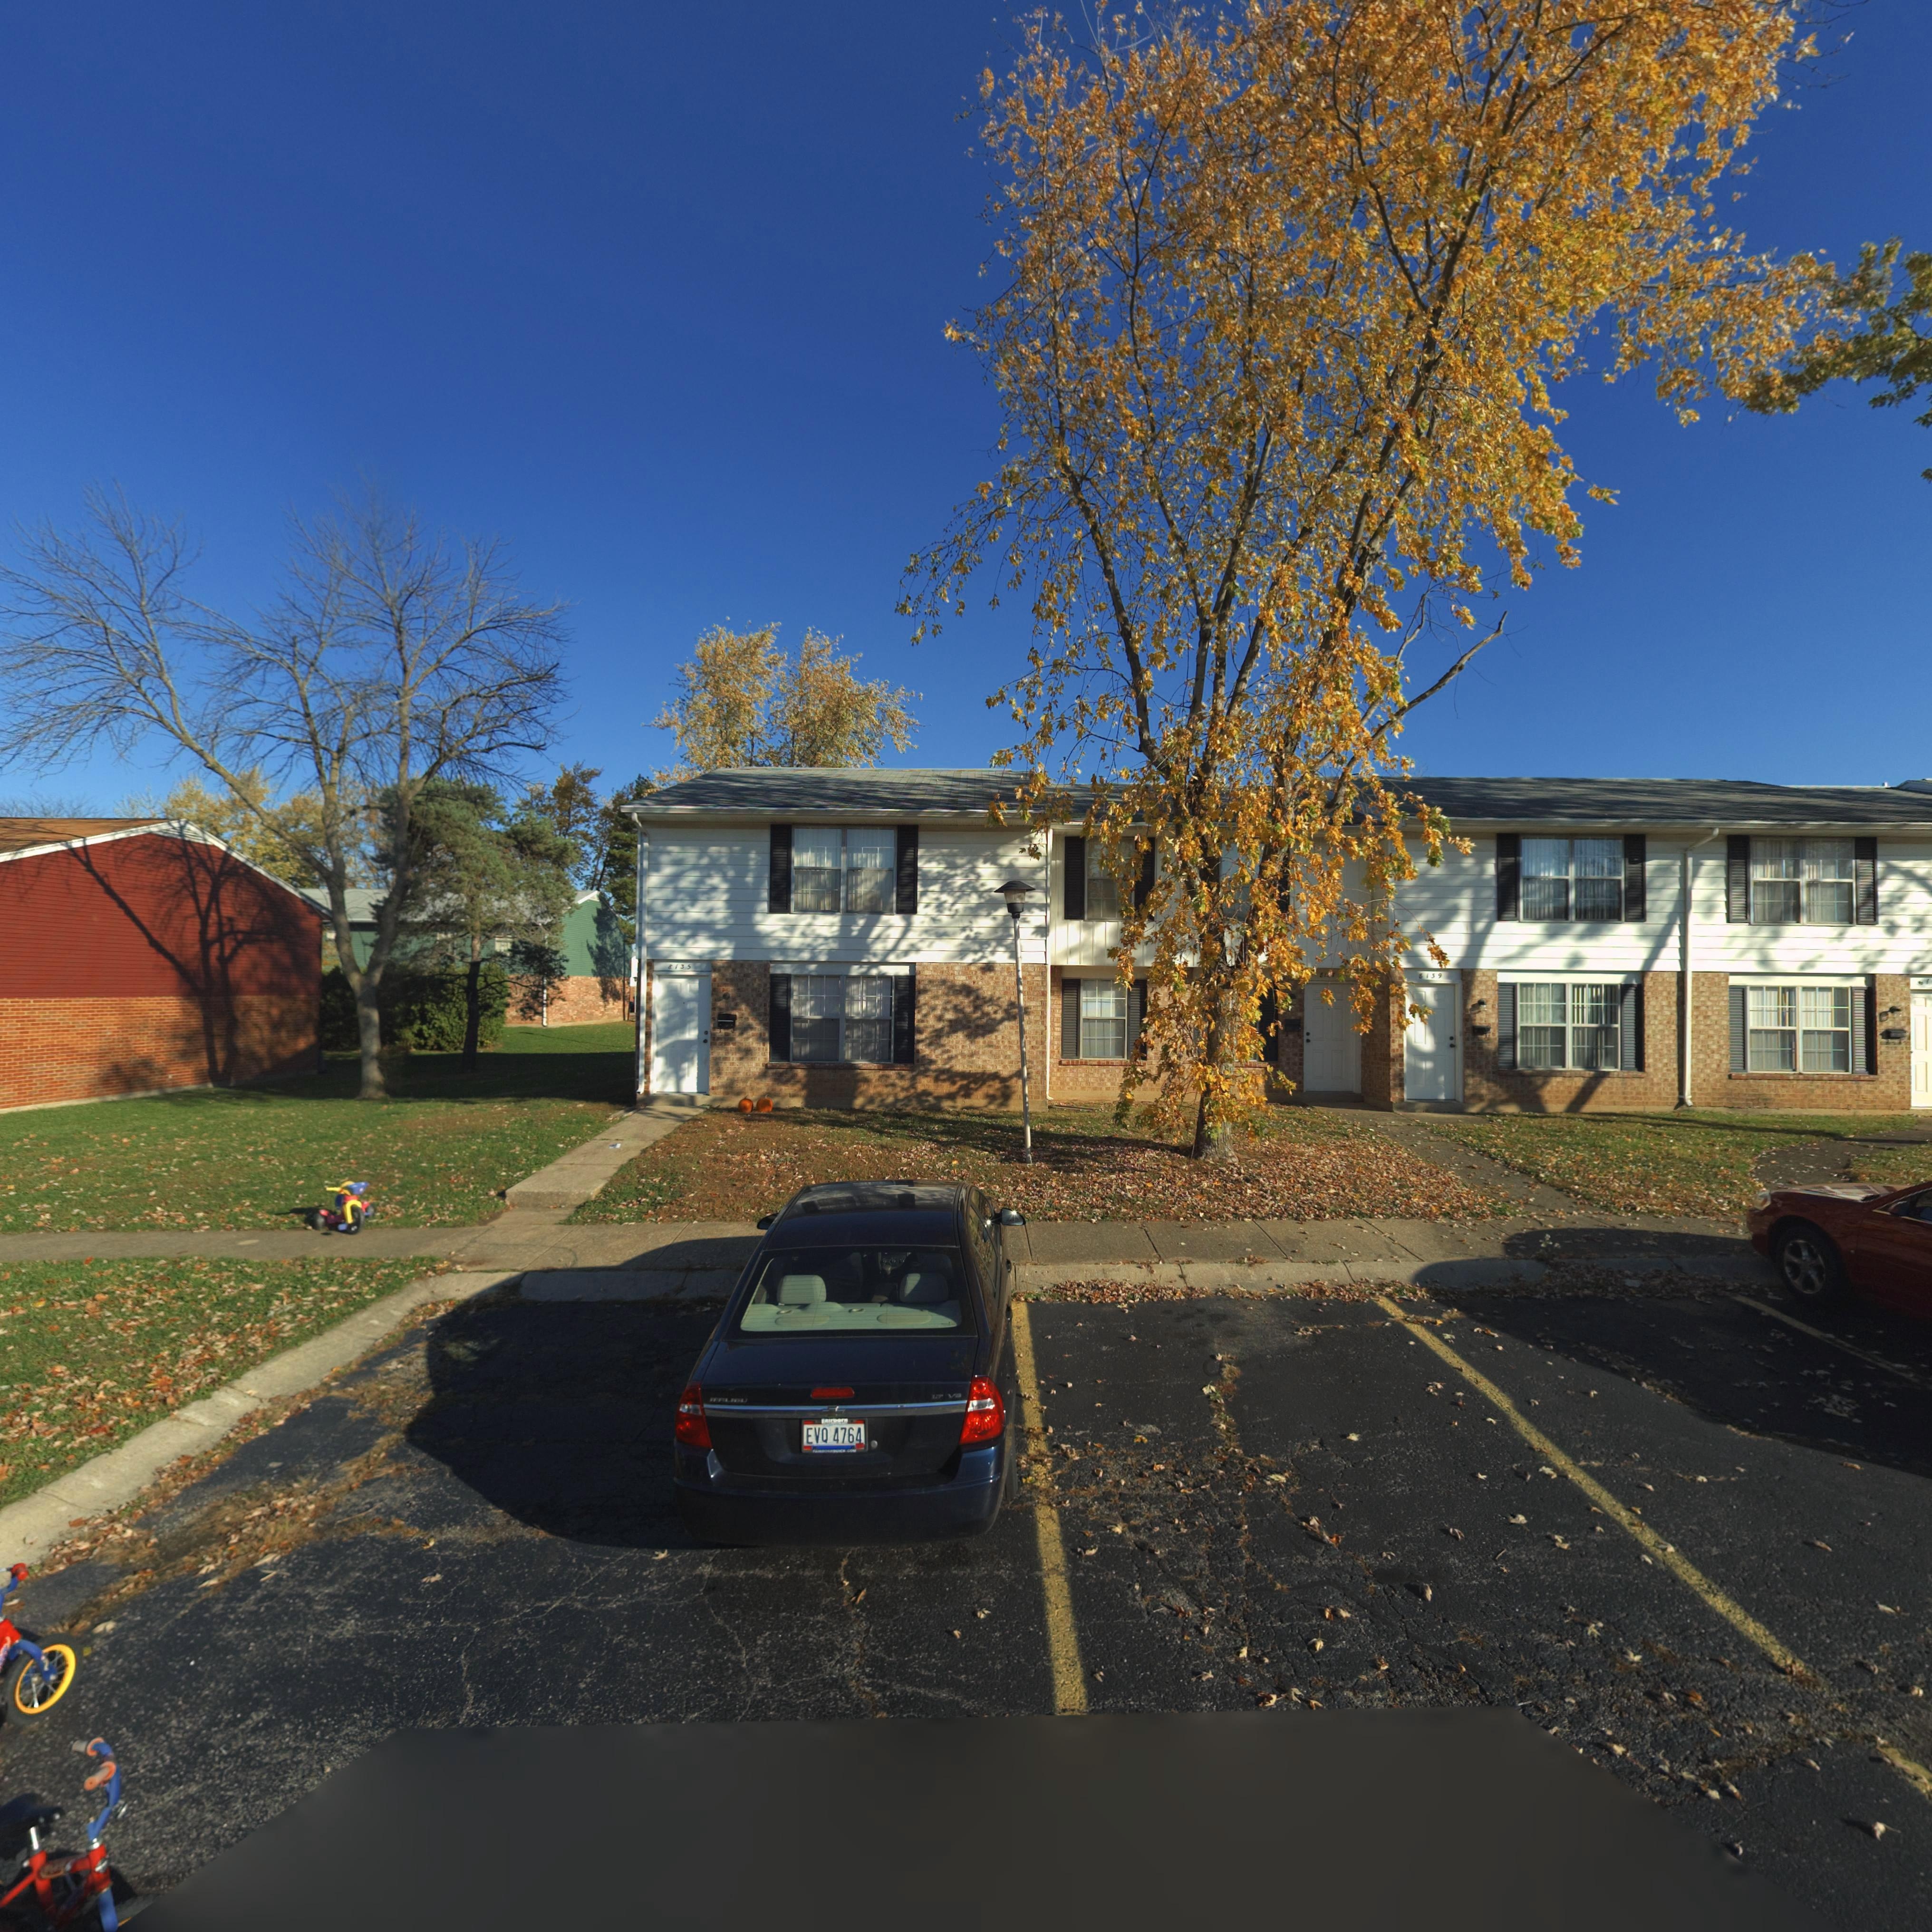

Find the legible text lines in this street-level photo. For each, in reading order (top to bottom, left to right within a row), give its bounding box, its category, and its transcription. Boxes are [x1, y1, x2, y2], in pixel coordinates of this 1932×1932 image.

[667, 963, 693, 971] StreetNumber: 8135
[1319, 971, 1325, 979] StreetNumber: 8
[1417, 972, 1443, 980] StreetNumber: 81*9